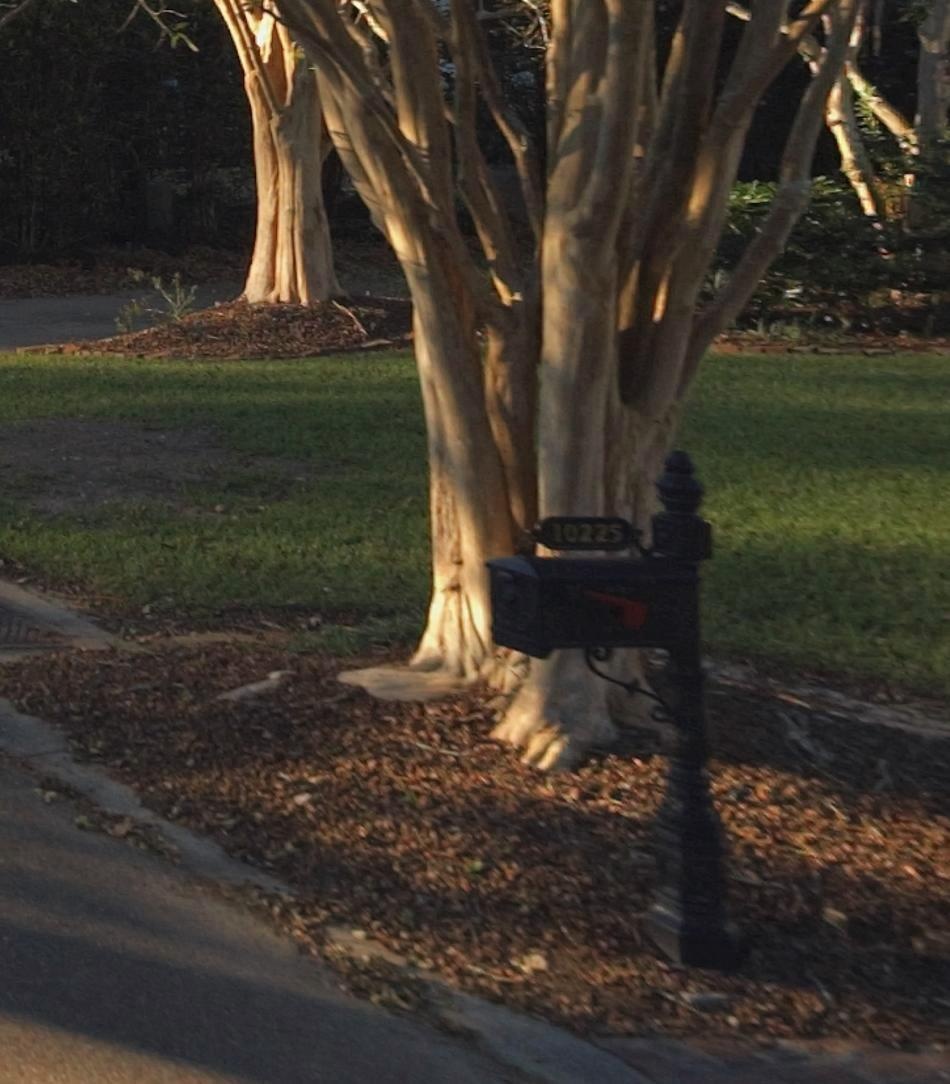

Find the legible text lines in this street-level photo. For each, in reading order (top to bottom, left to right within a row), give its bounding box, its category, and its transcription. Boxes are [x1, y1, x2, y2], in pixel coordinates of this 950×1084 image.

[548, 521, 625, 544] StreetNumber: 10225